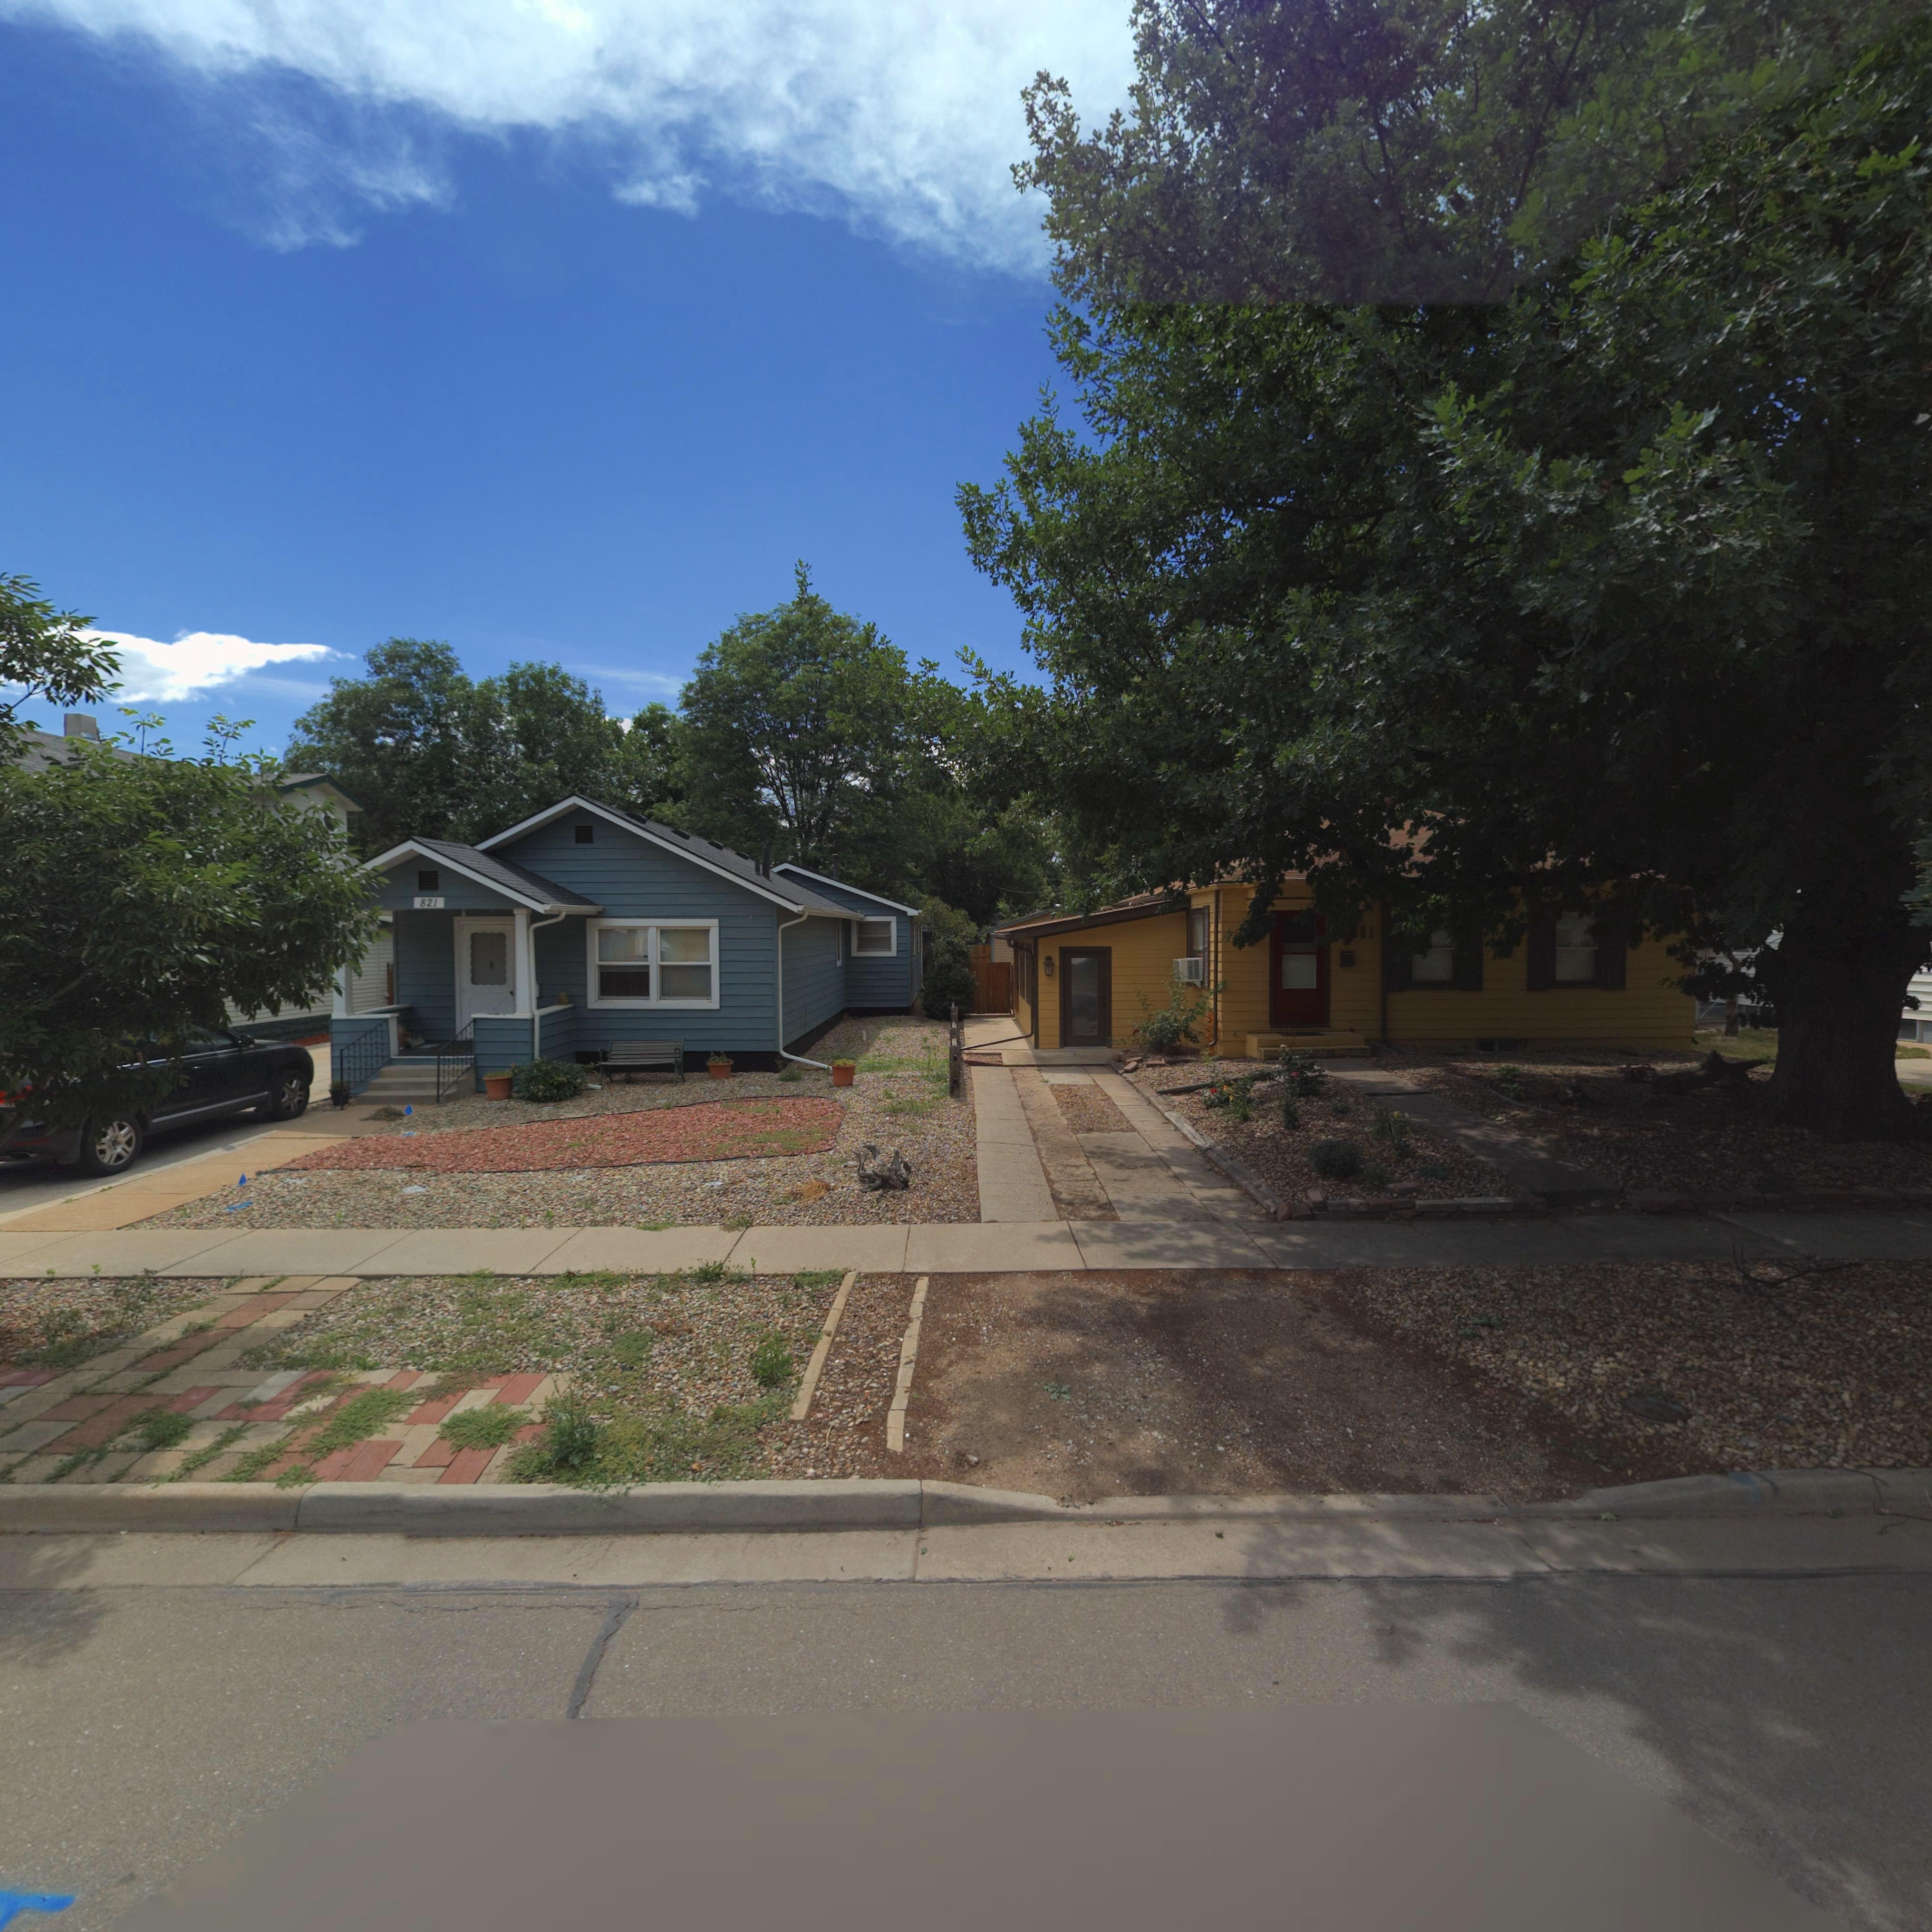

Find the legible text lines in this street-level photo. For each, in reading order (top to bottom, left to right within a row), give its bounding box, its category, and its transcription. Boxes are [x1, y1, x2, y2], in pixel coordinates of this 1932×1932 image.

[420, 898, 437, 907] StreetNumber: 821